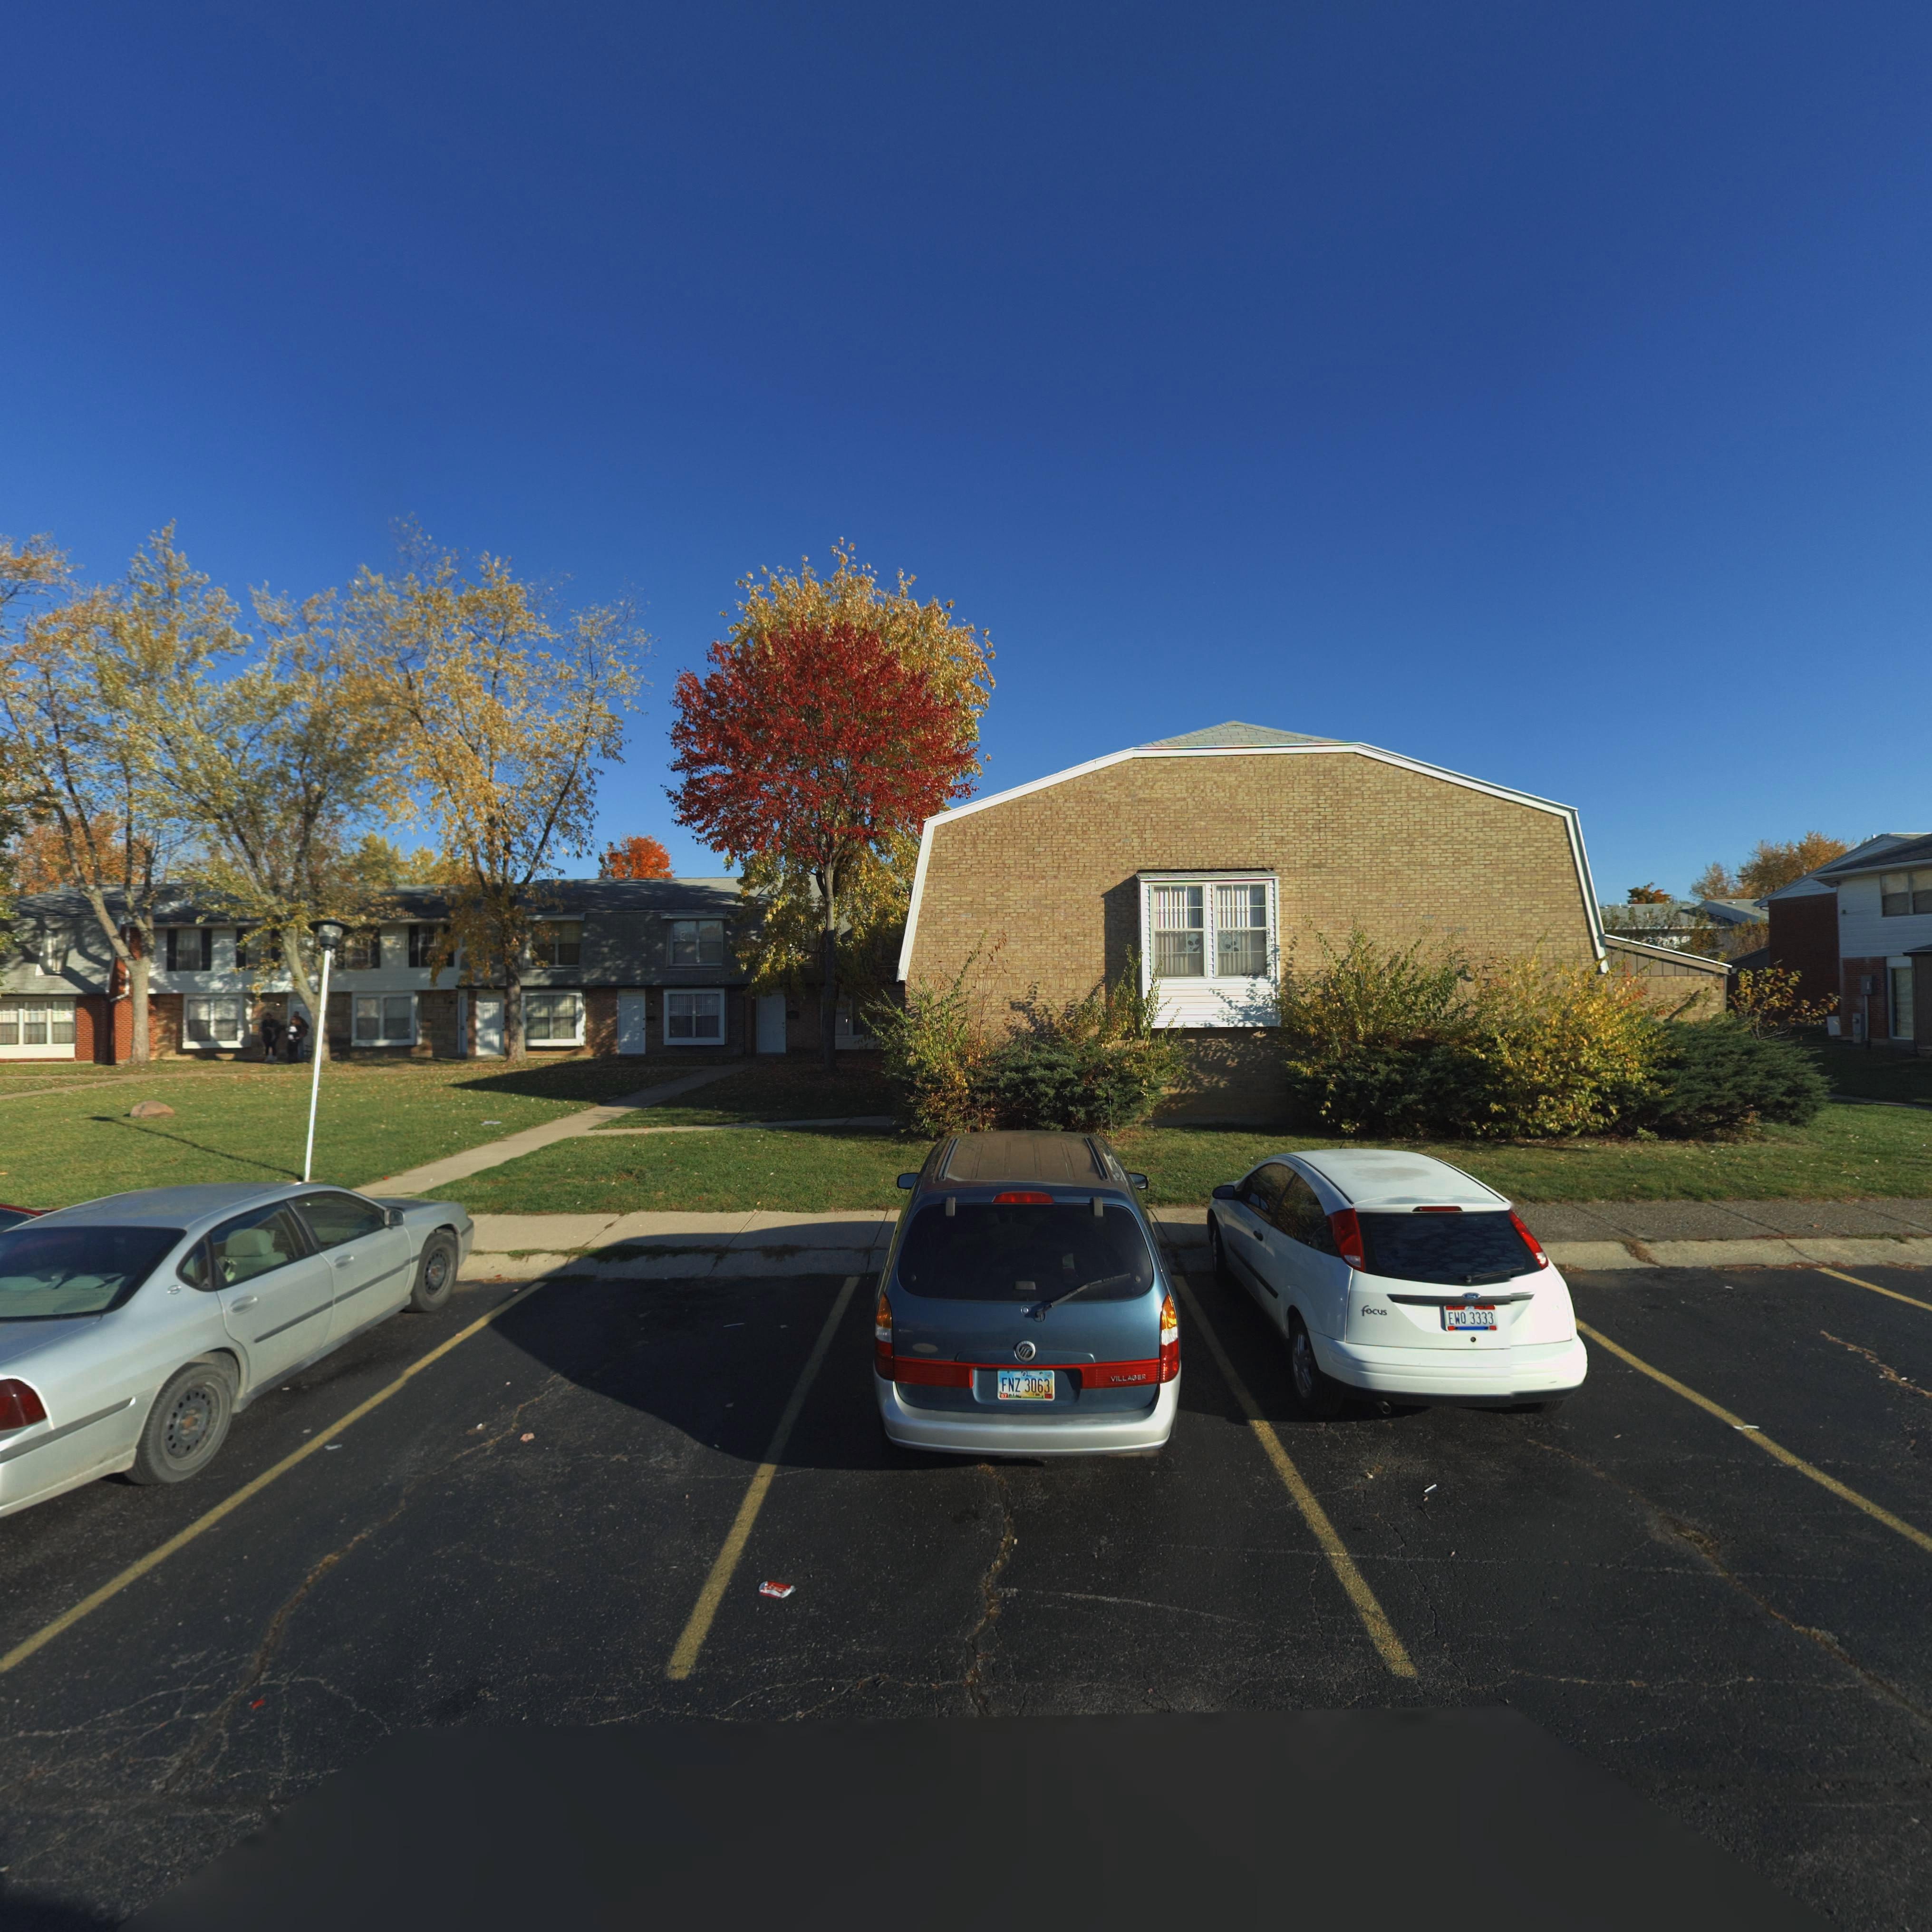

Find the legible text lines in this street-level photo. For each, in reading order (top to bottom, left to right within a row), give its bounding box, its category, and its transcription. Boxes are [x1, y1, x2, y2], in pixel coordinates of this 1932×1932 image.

[626, 989, 638, 993] StreetNumber: 7*97